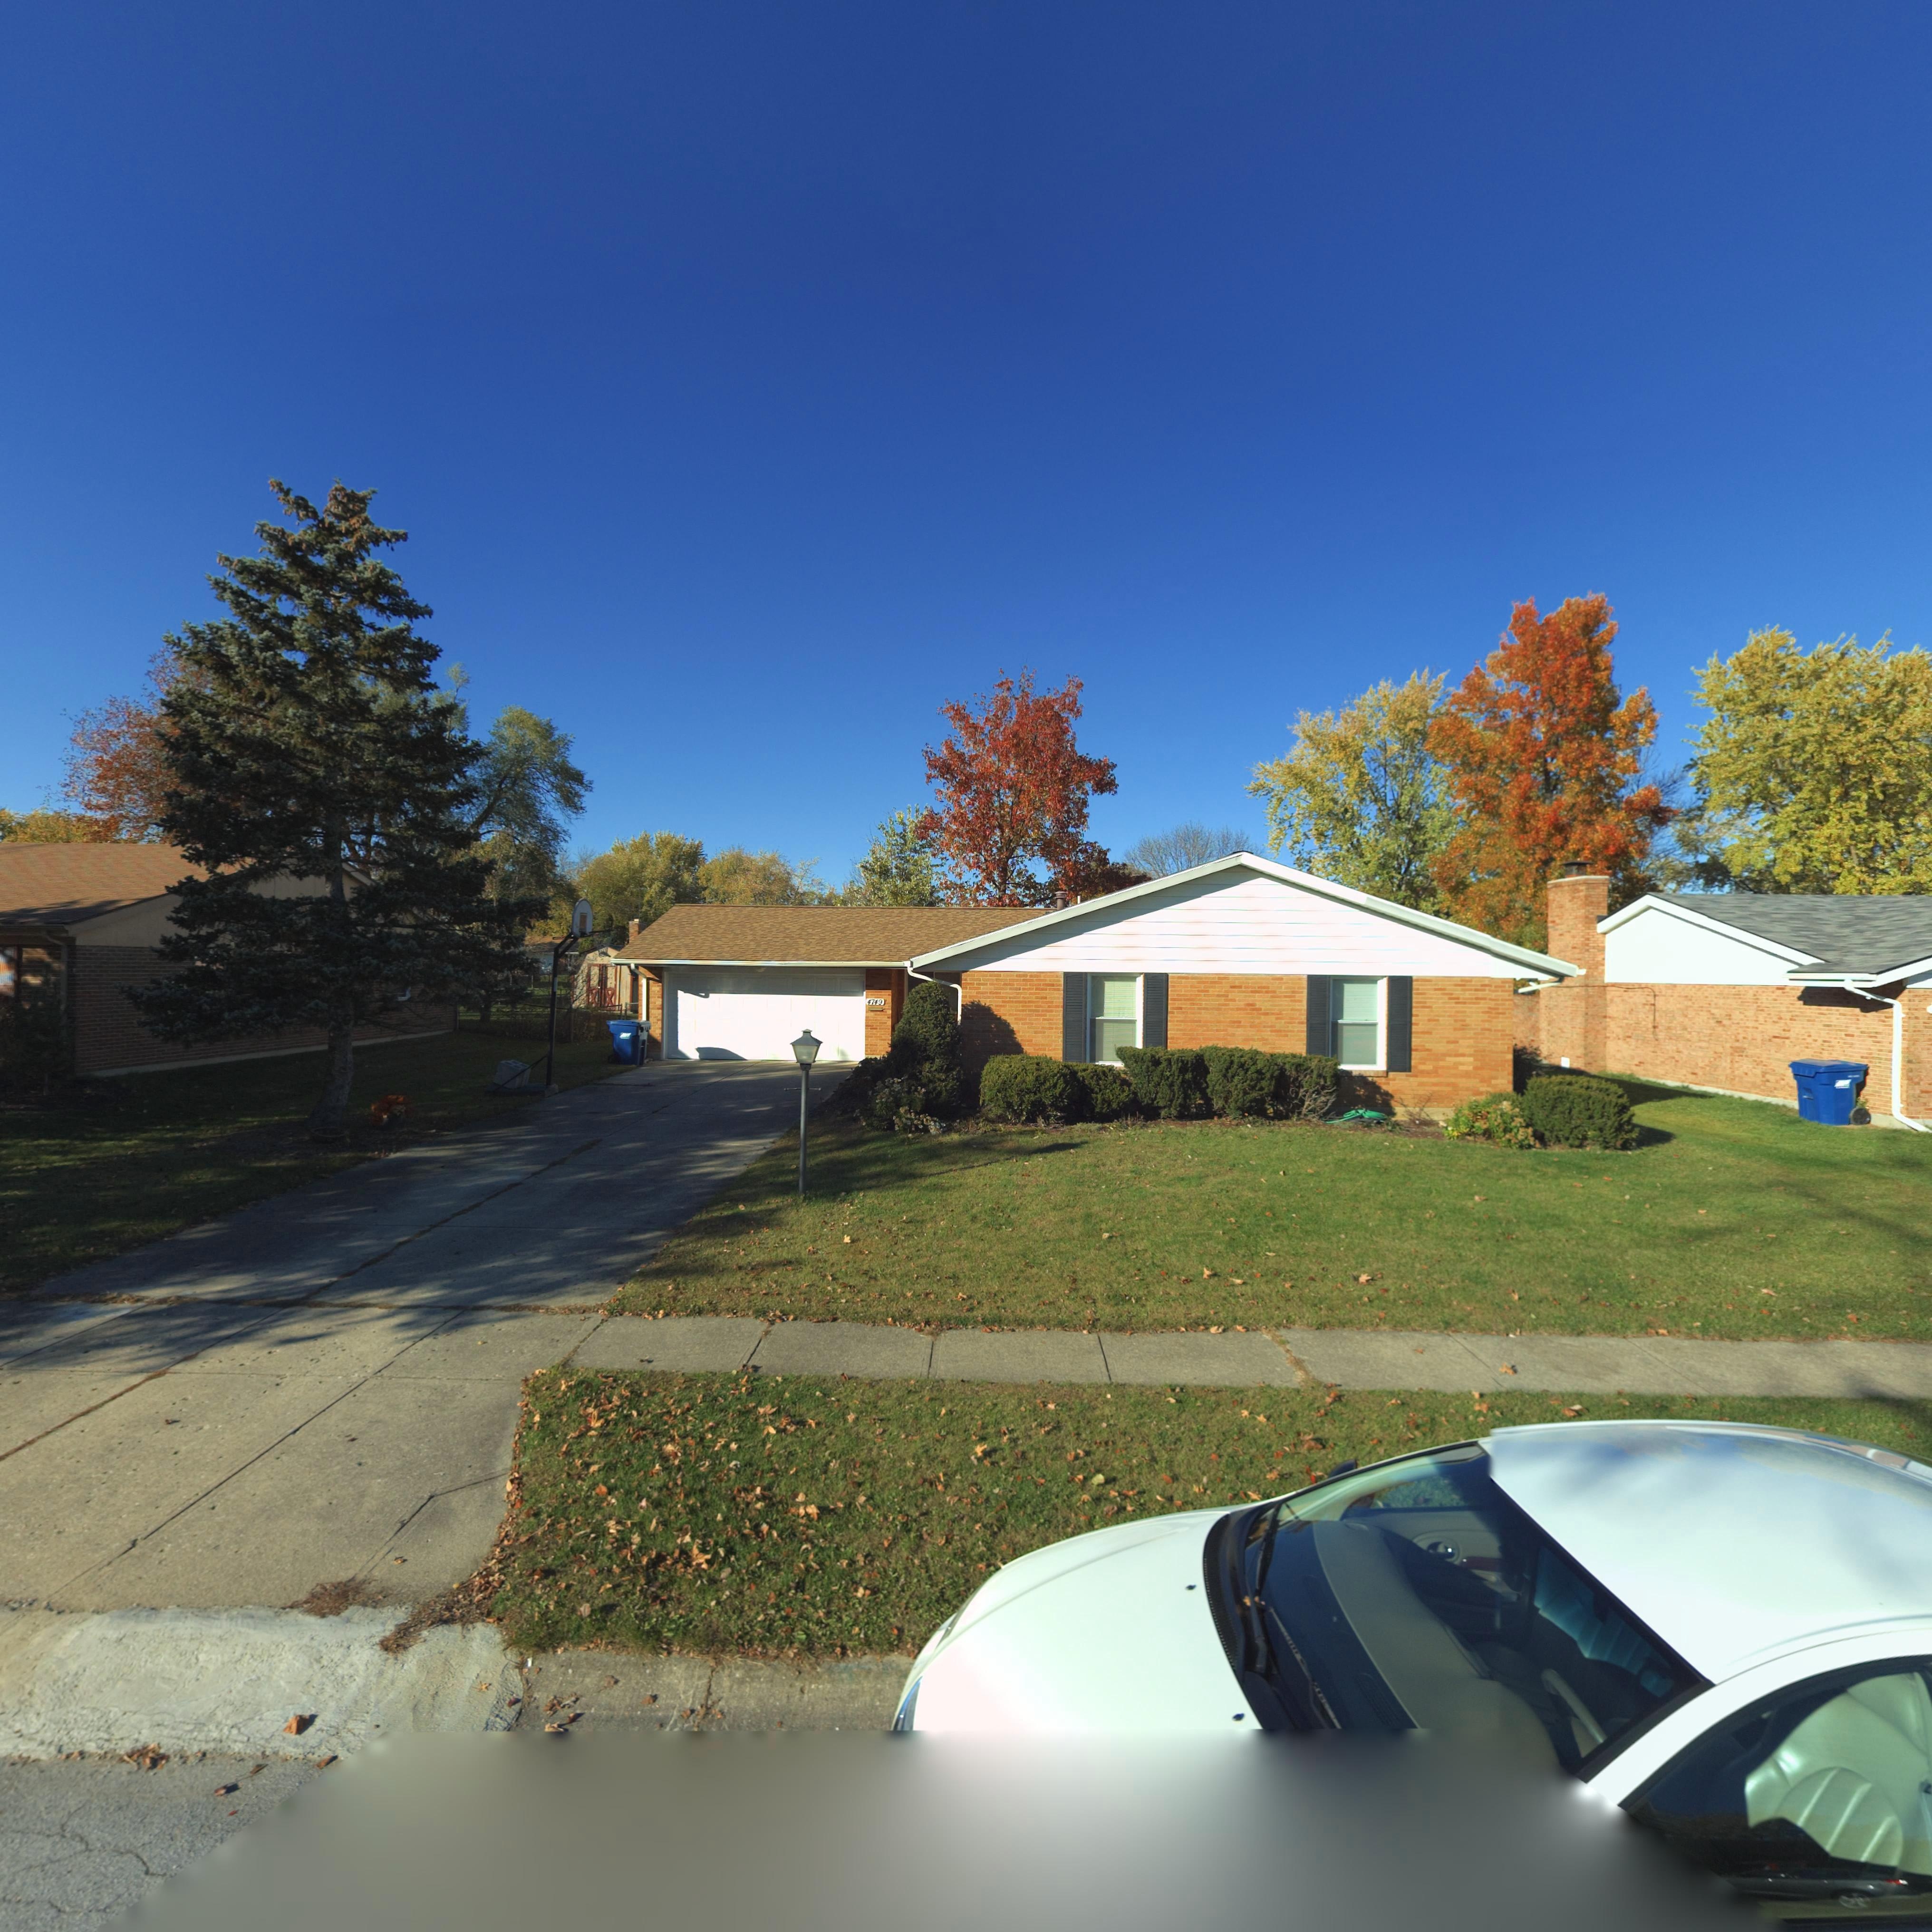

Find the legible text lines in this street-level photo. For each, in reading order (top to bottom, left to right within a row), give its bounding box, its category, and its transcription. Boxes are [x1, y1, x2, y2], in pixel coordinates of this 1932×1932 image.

[866, 998, 883, 1006] StreetNumber: 4749